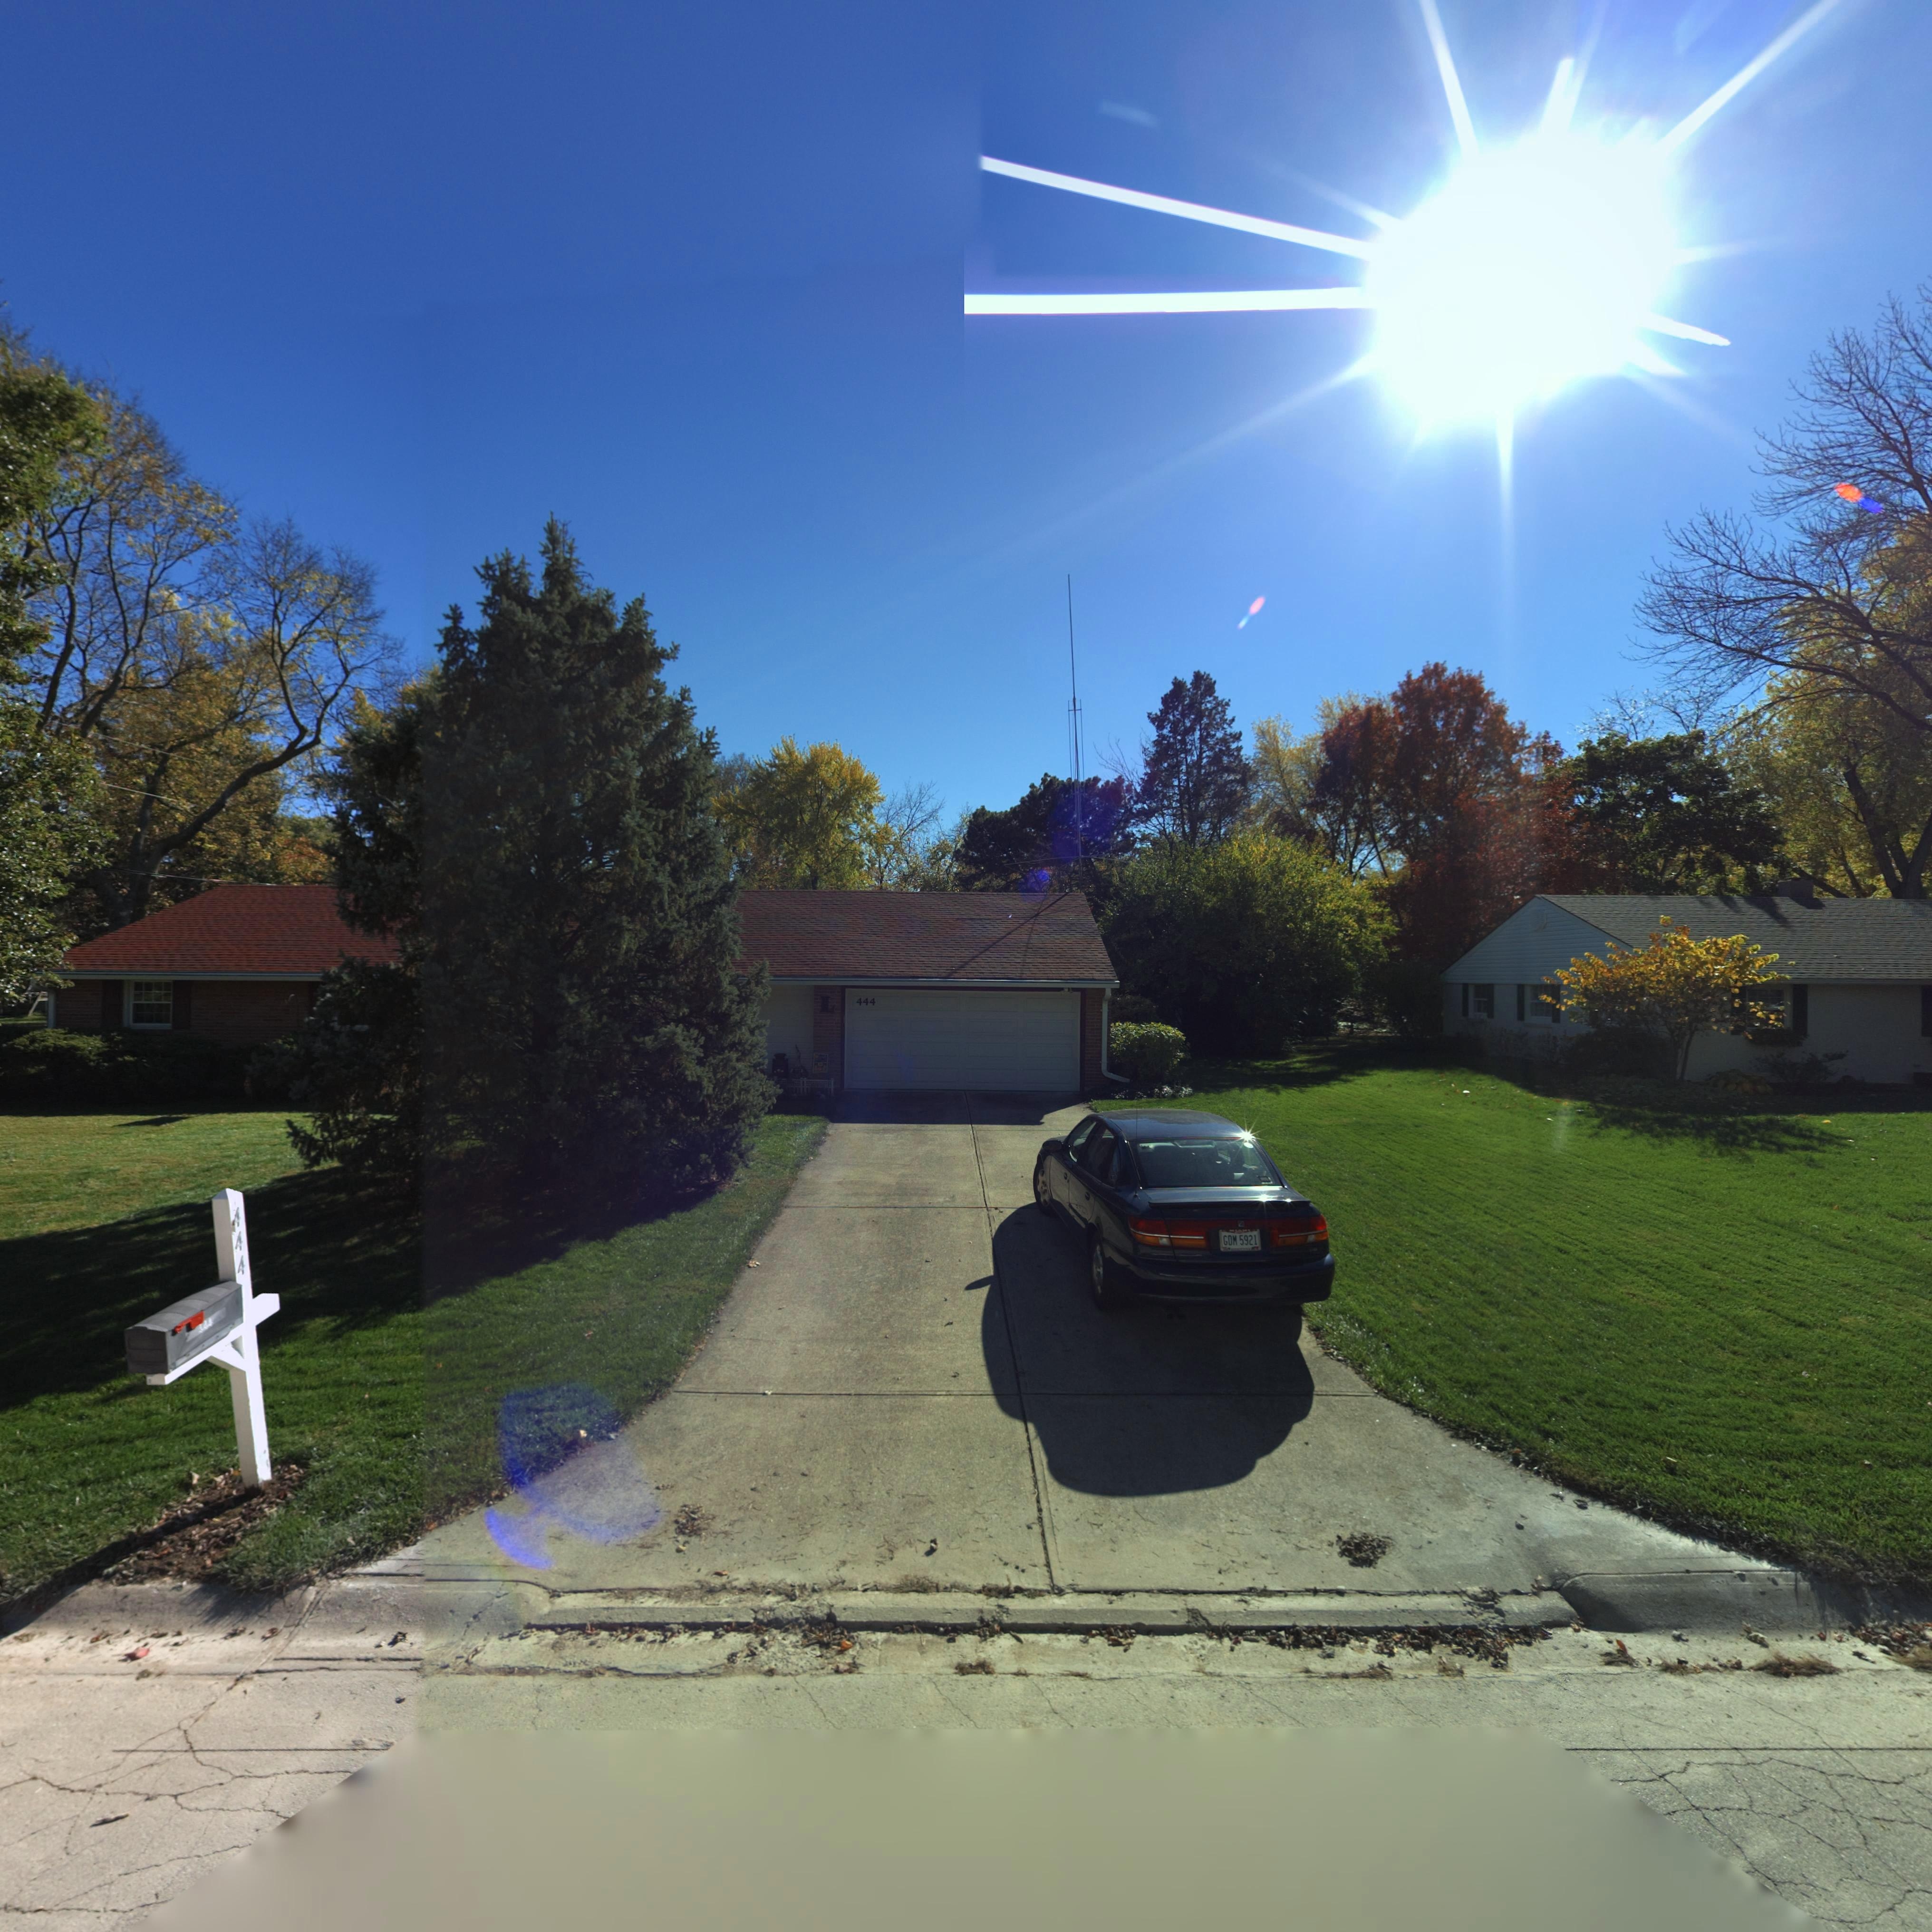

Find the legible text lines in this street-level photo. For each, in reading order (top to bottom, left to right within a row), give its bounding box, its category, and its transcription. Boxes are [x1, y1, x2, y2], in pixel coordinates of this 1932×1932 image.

[855, 997, 876, 1006] StreetNumber: 444
[232, 1206, 246, 1278] StreetNumber: 444
[197, 1316, 214, 1333] StreetNumber: *44